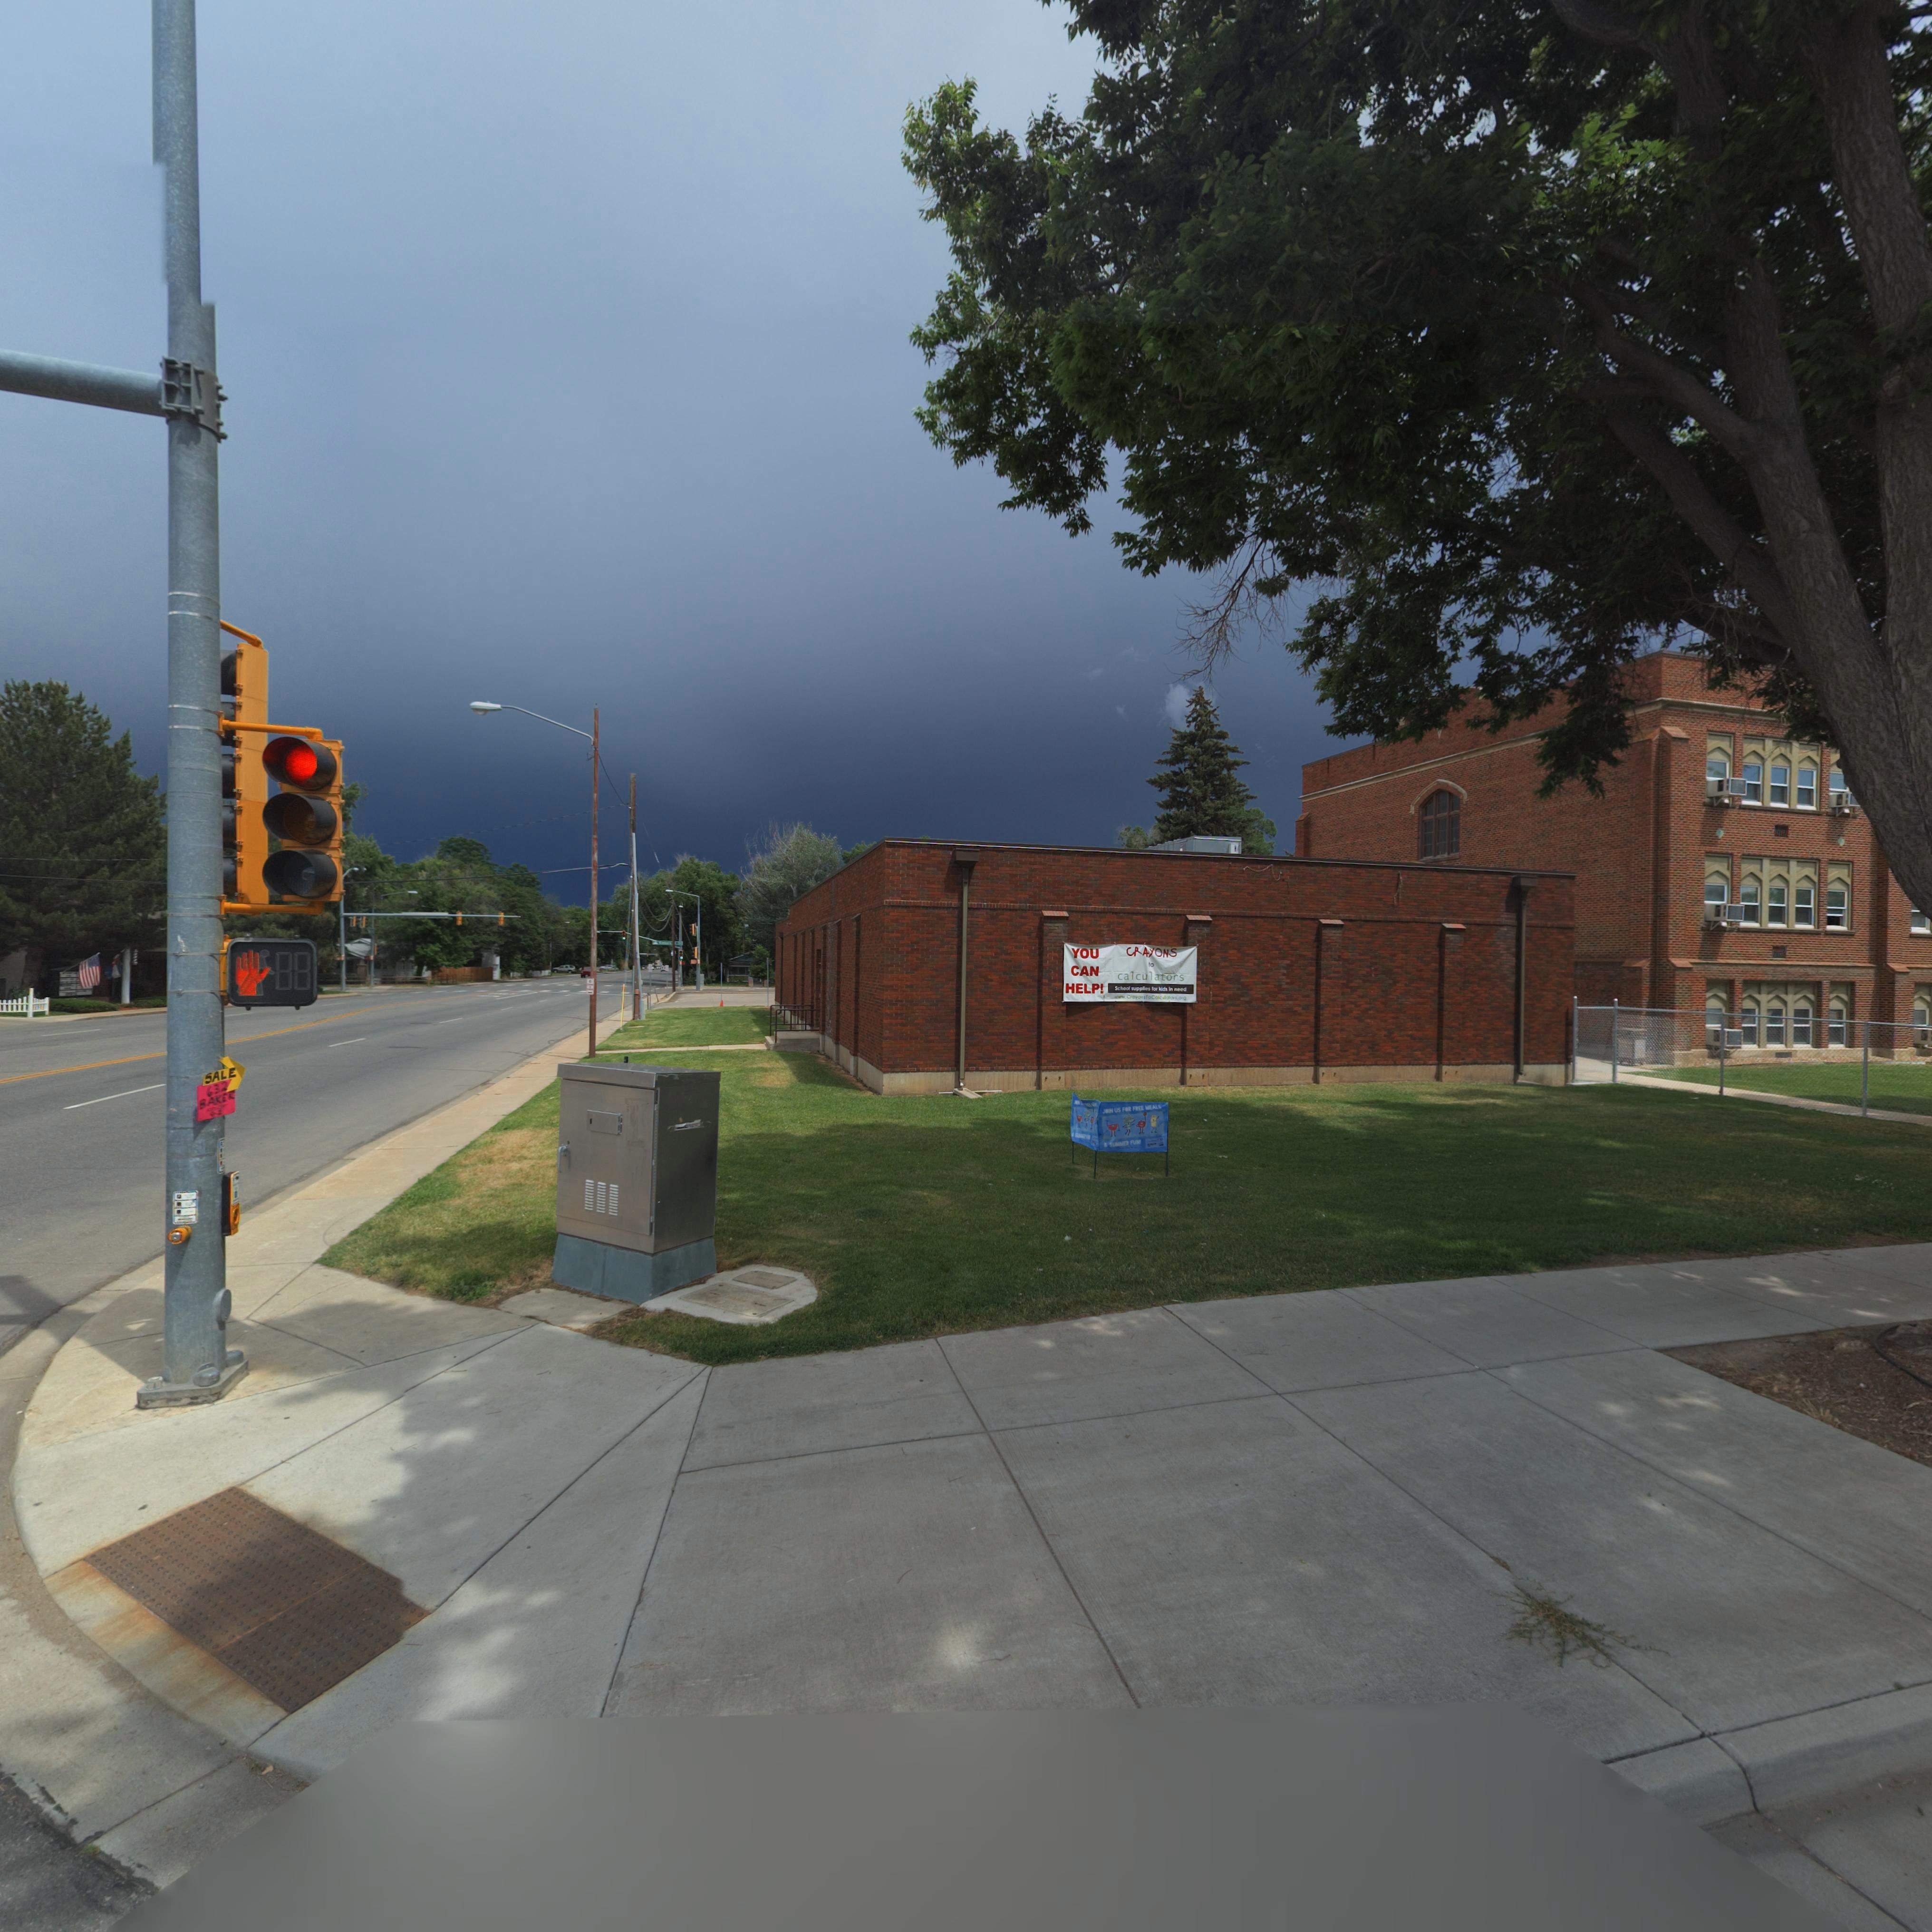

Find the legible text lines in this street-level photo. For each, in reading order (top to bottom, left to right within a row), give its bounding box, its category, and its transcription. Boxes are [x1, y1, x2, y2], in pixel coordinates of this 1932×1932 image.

[205, 1080, 228, 1097] StreetNumber: 632
[199, 1089, 235, 1110] StreetName: BAKER